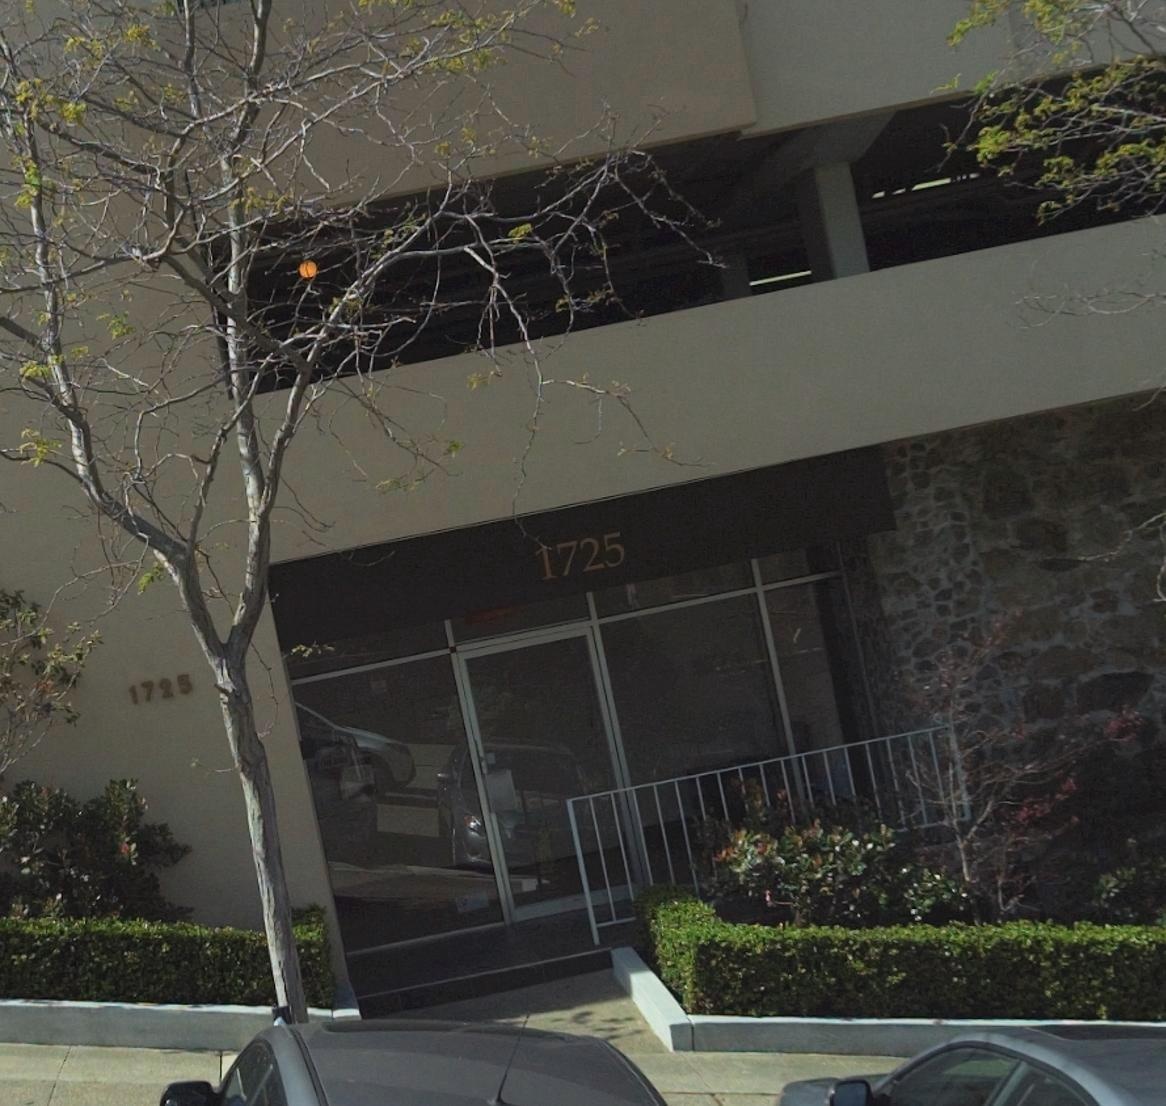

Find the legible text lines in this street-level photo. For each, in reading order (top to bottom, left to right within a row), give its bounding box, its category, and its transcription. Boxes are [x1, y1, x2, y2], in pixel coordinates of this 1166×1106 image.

[533, 528, 628, 583] StreetNumber: 1725
[126, 670, 195, 708] StreetNumber: 1725